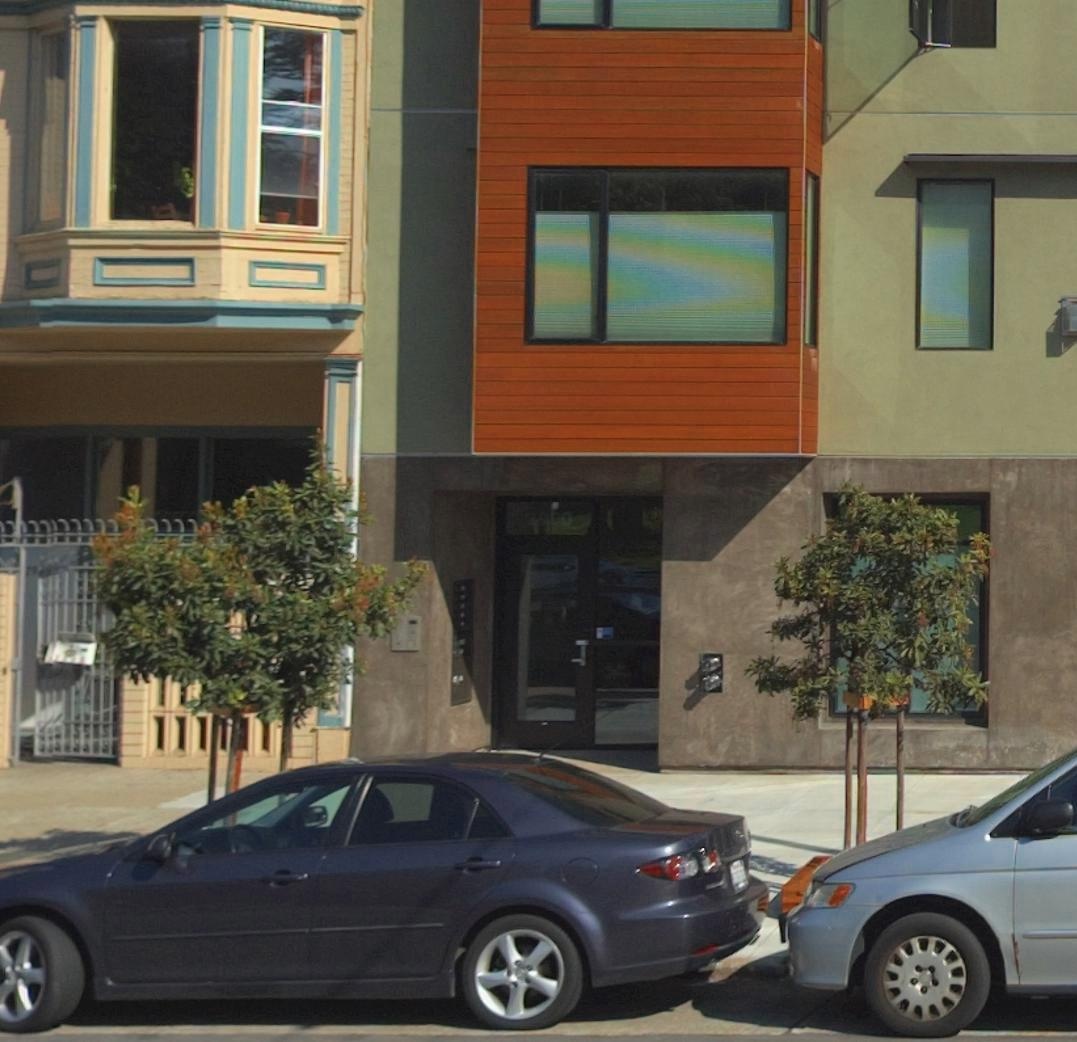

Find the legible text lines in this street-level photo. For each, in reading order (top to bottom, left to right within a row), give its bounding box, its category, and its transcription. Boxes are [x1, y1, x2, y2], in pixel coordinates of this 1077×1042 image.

[524, 512, 575, 527] StreetNumber: 2900